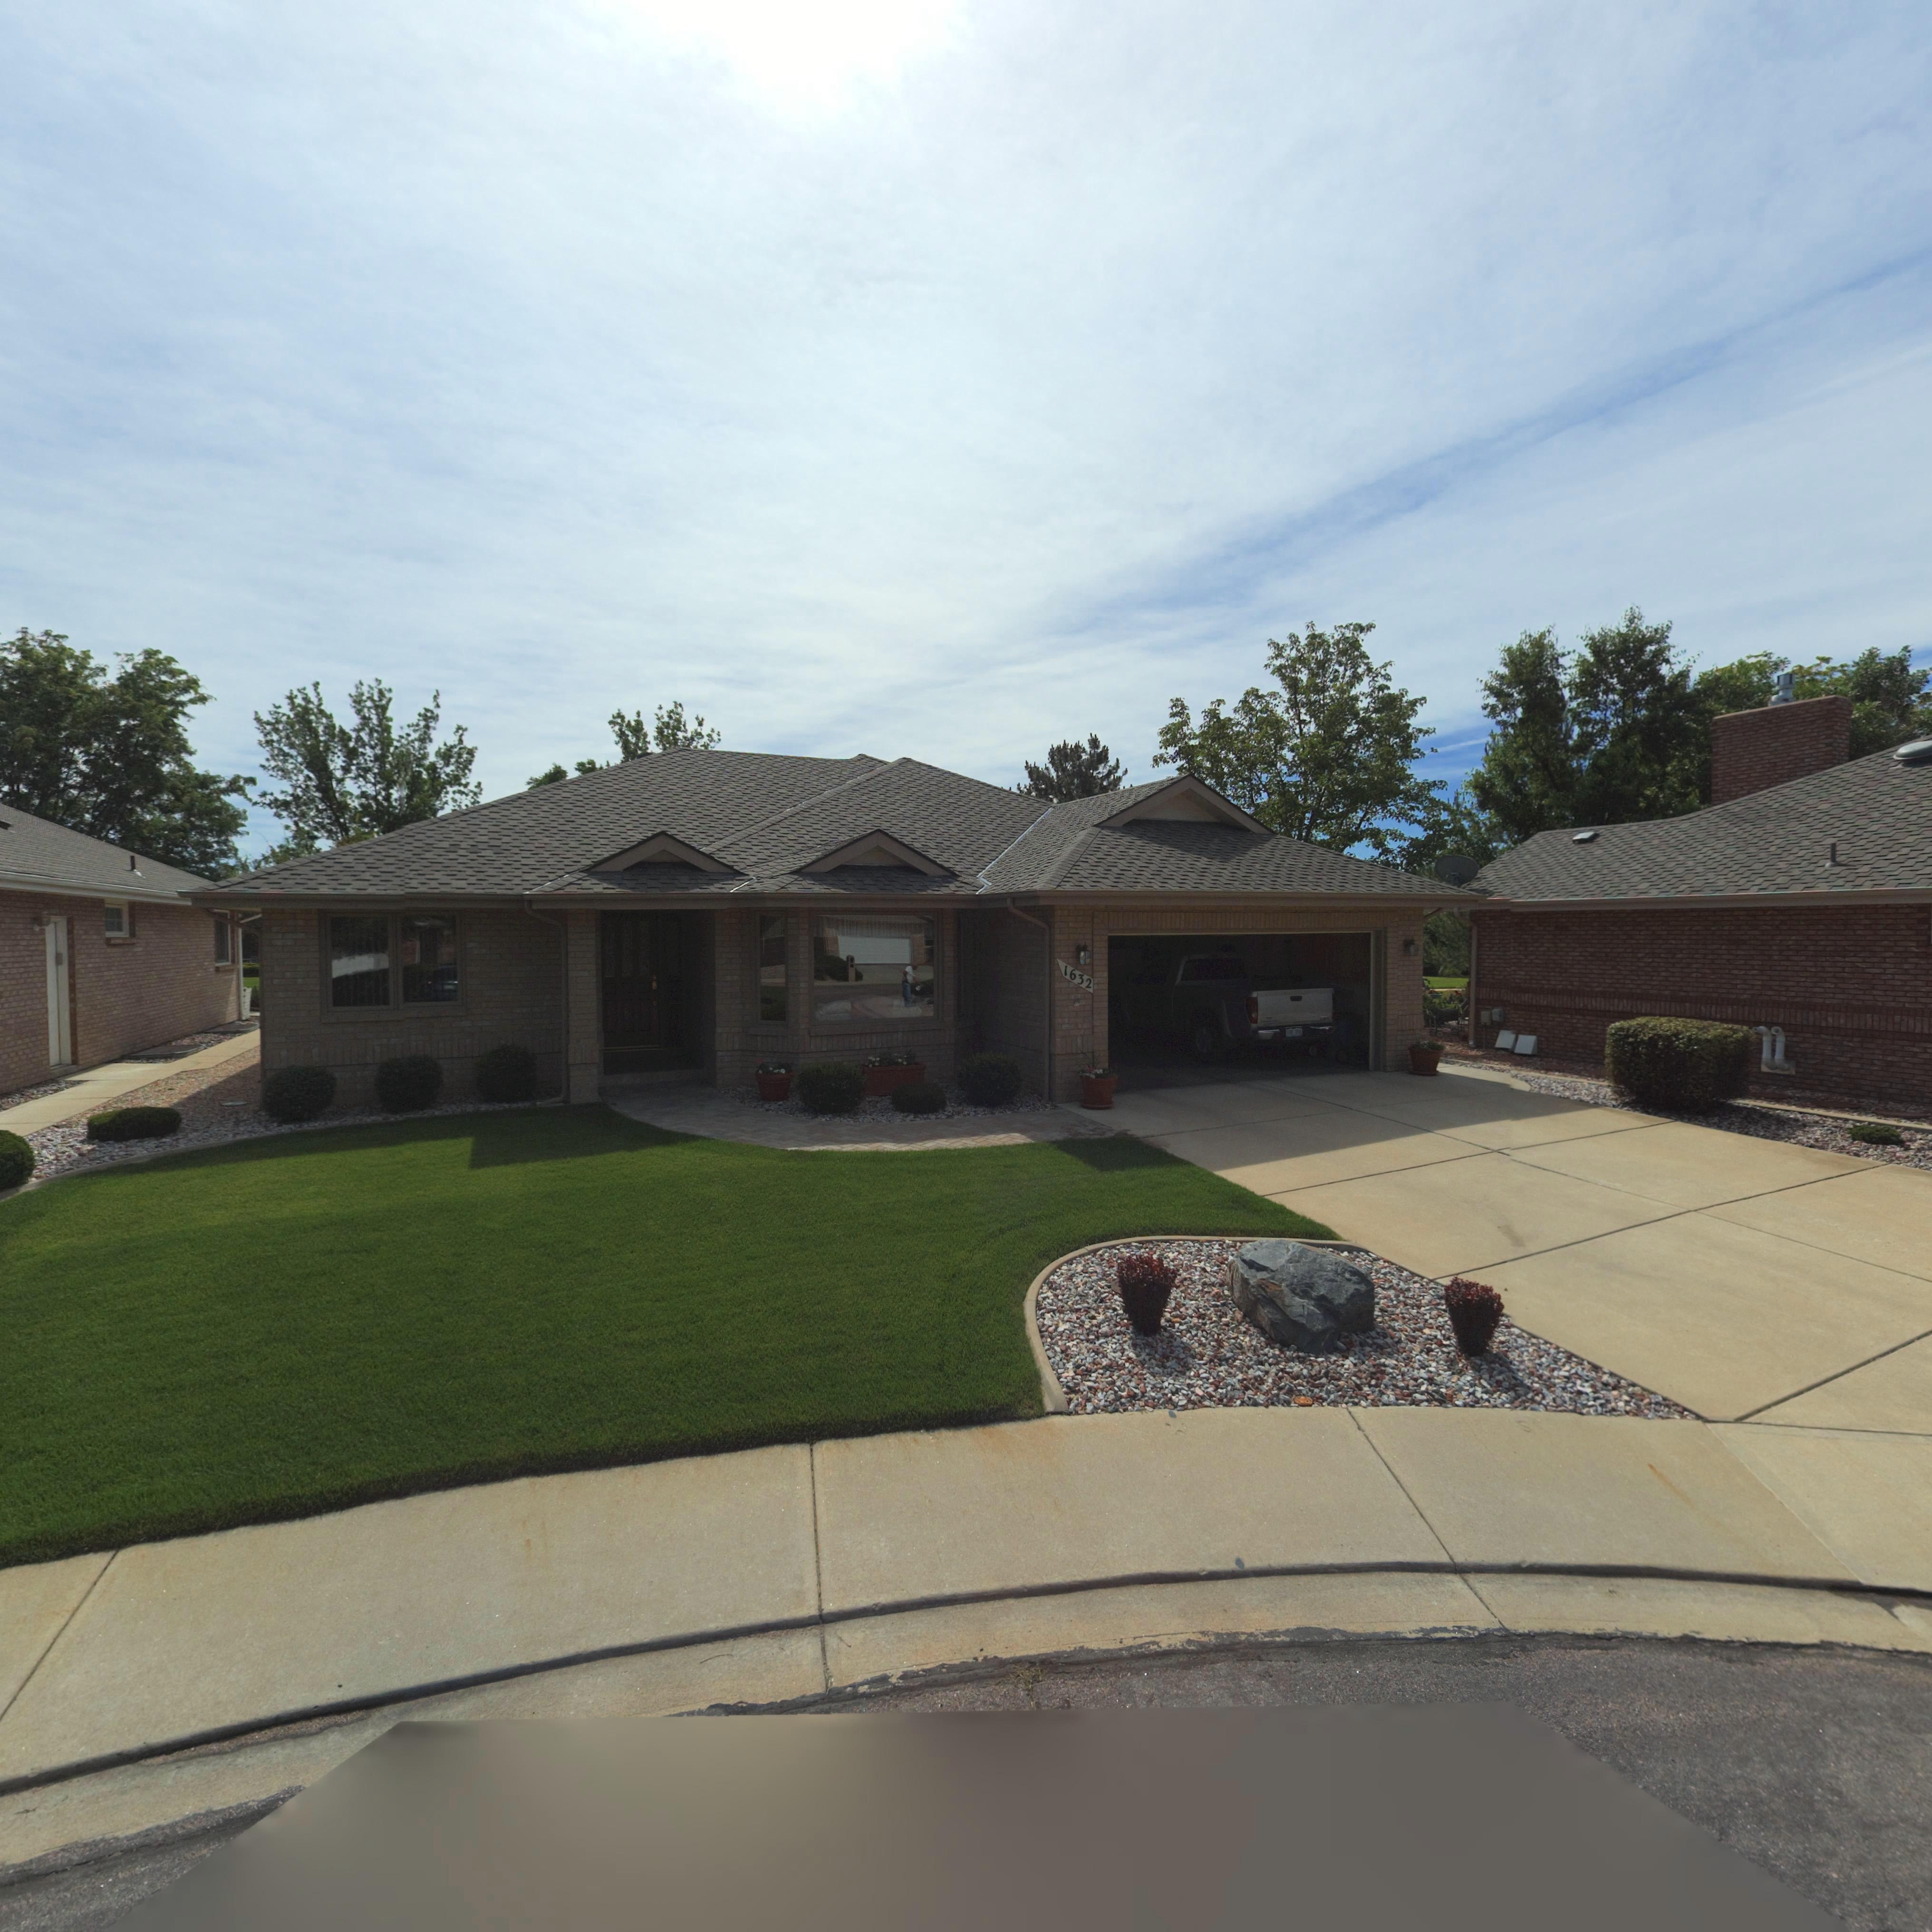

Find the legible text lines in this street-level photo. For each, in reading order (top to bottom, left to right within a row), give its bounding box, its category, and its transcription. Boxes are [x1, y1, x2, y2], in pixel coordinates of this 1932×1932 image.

[1063, 965, 1092, 988] StreetNumber: 1632